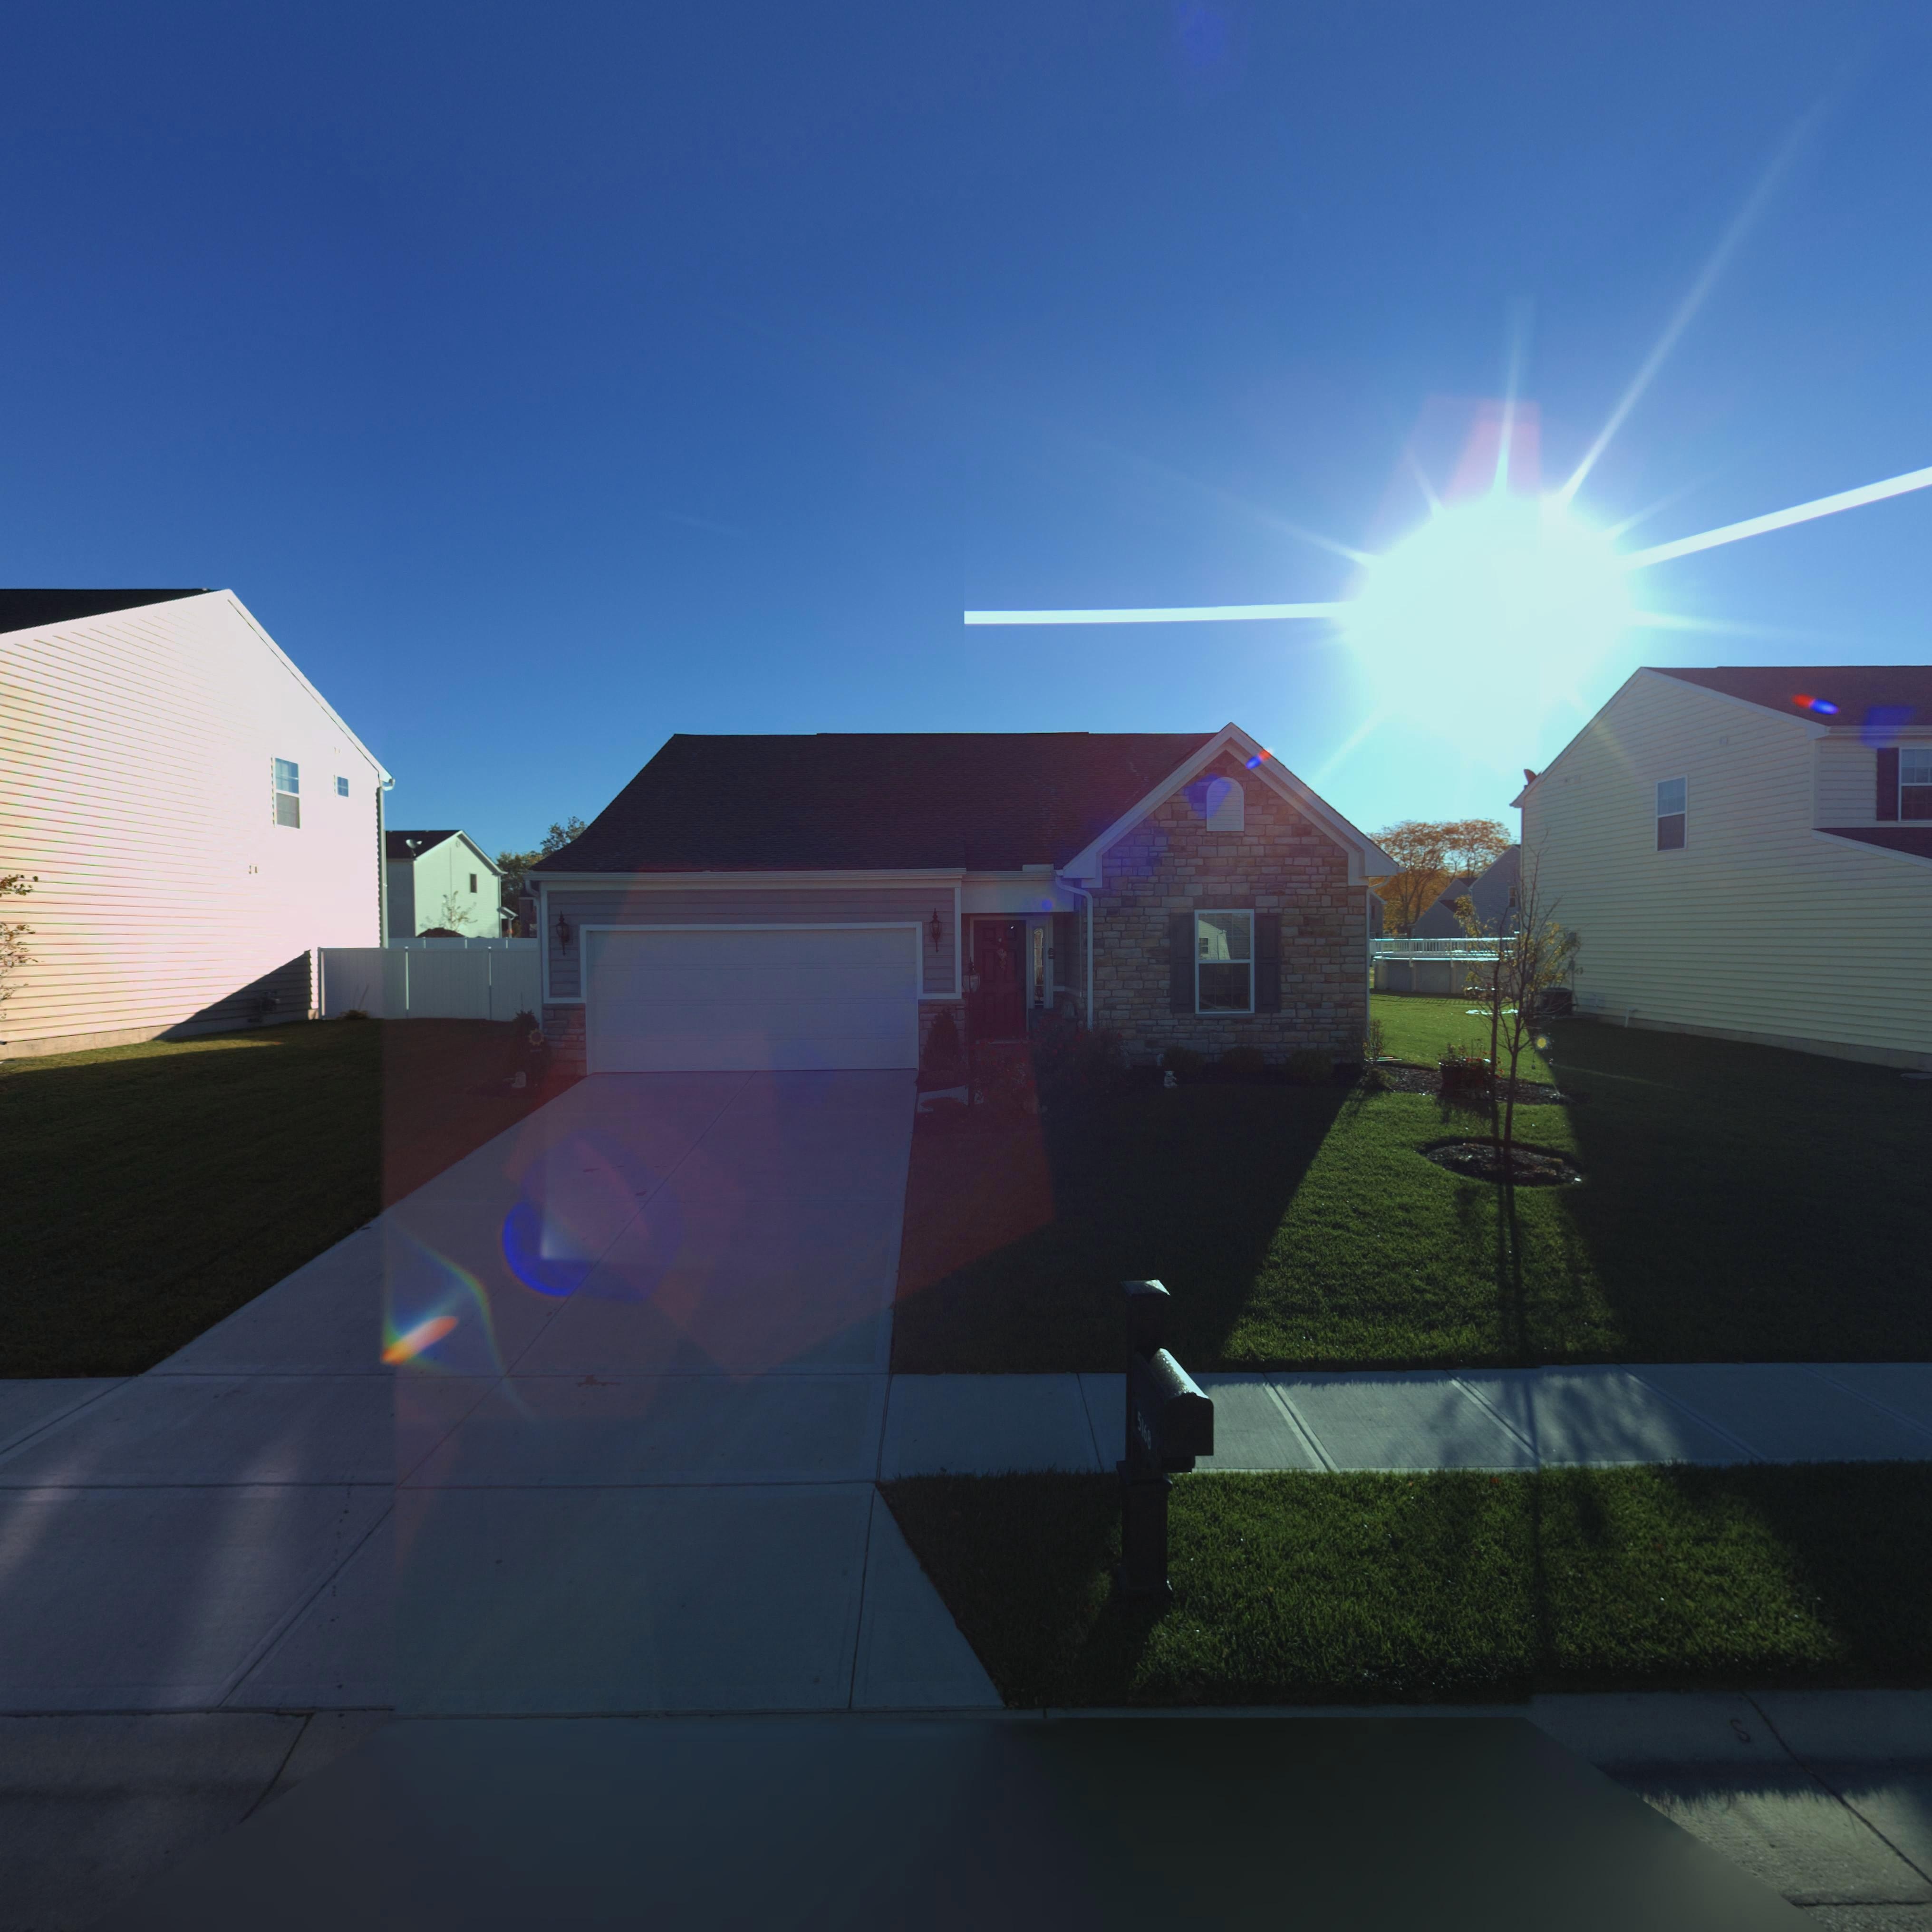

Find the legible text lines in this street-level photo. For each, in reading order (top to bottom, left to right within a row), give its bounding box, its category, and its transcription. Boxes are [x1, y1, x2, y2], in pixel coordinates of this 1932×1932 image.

[1136, 1408, 1152, 1451] StreetNumber: 5168